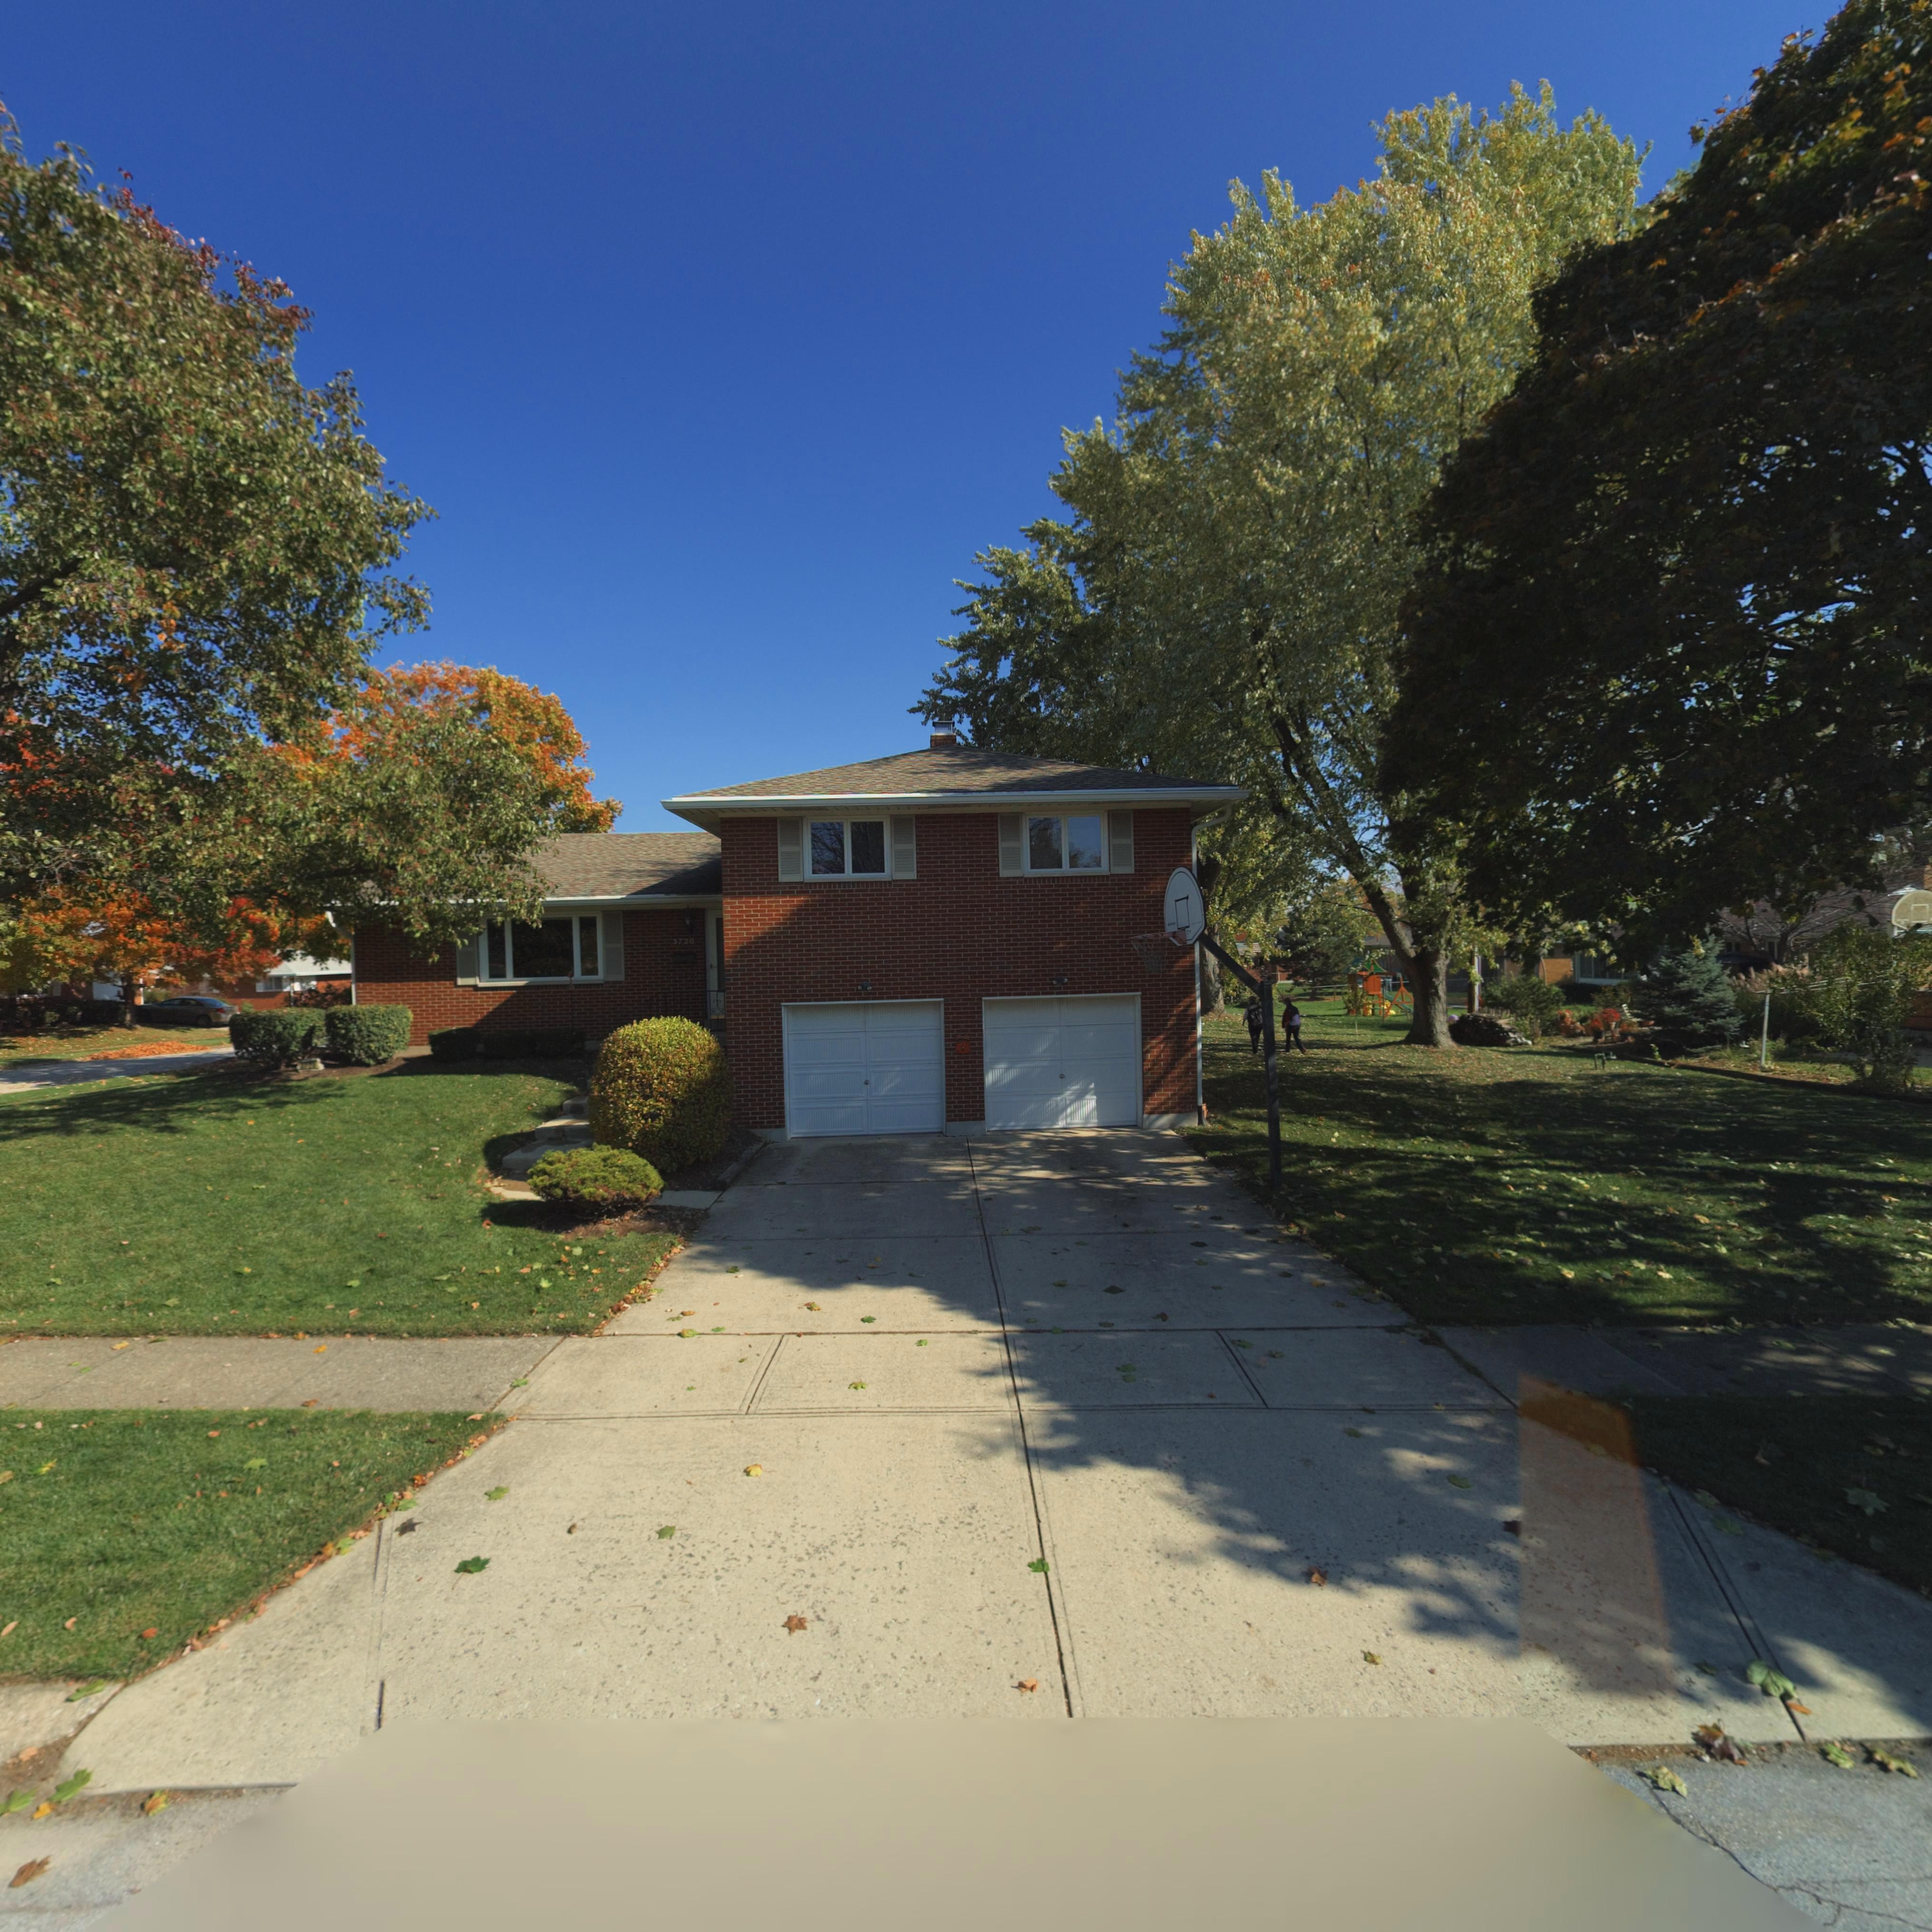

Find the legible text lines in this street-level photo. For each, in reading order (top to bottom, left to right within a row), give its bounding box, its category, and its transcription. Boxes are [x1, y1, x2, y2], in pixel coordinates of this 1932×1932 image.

[672, 937, 695, 945] StreetNumber: 3720